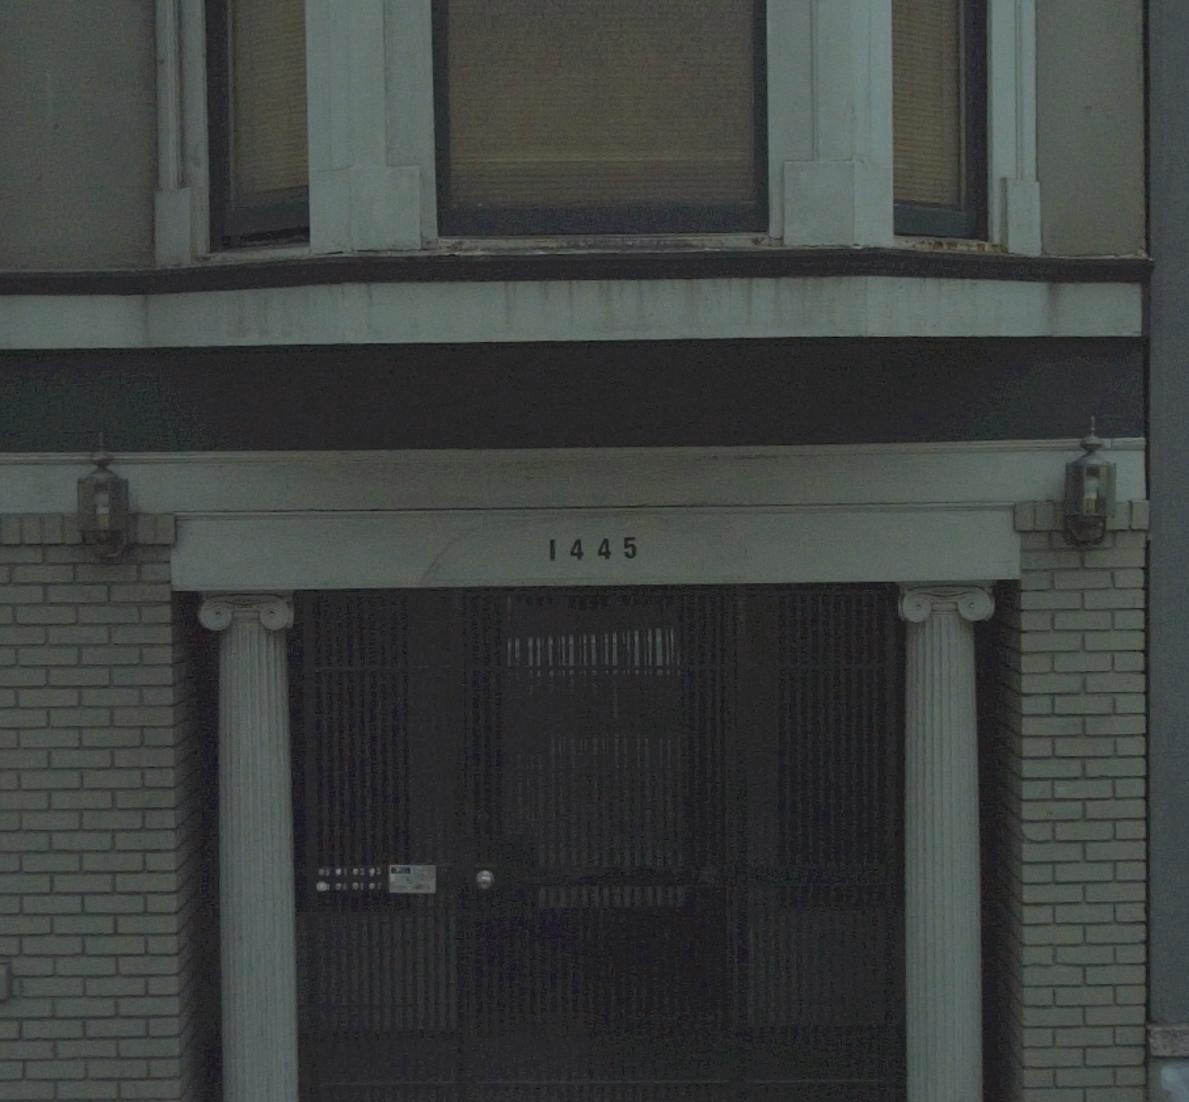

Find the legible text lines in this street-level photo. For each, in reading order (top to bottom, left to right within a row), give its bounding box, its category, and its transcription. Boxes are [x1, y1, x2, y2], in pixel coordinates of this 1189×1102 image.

[545, 534, 640, 564] StreetNumber: 1445